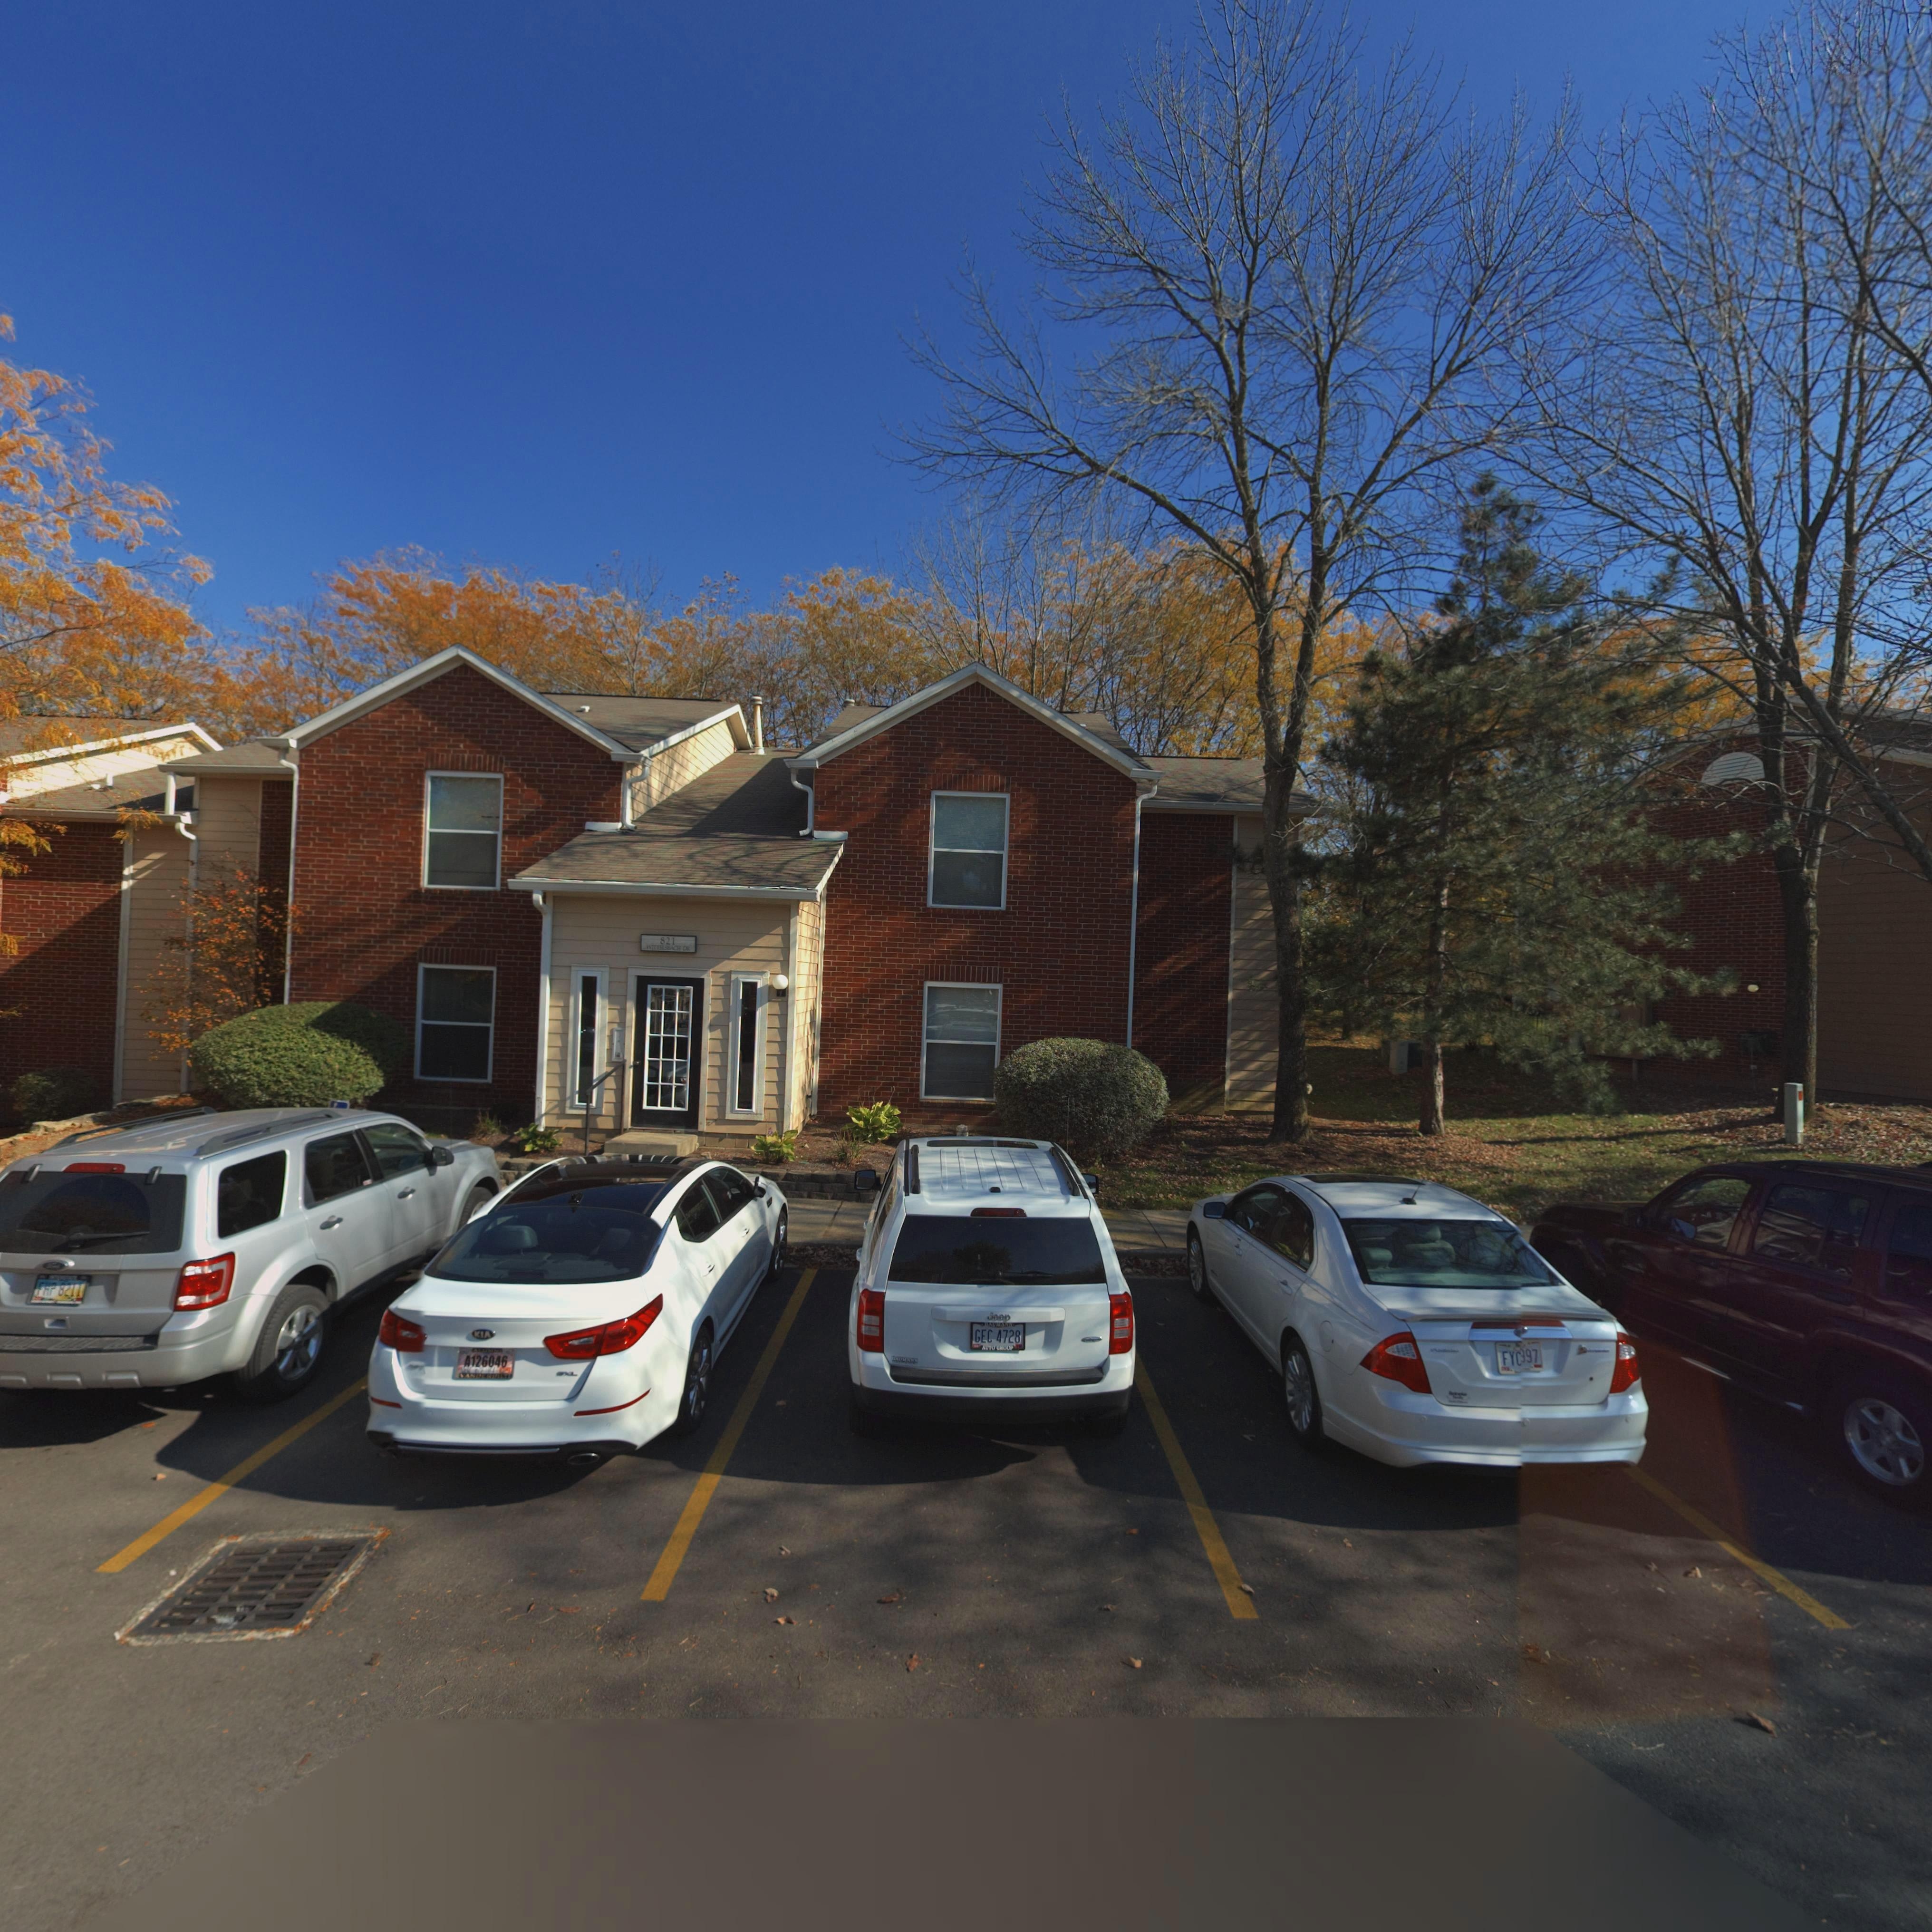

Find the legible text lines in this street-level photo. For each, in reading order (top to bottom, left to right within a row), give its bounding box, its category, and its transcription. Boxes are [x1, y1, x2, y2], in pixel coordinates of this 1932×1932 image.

[658, 936, 676, 946] StreetNumber: 821
[33, 1279, 86, 1299] None: FHP 8211
[985, 1309, 1012, 1324] None: Jeep
[473, 1329, 493, 1339] None: KIA
[974, 1327, 1022, 1345] None: GEC 4728
[461, 1352, 510, 1370] None: A126046
[979, 1343, 1014, 1352] None: AUTO GROUP
[1500, 1348, 1517, 1368] None: FY
[1523, 1346, 1540, 1366] None: 97